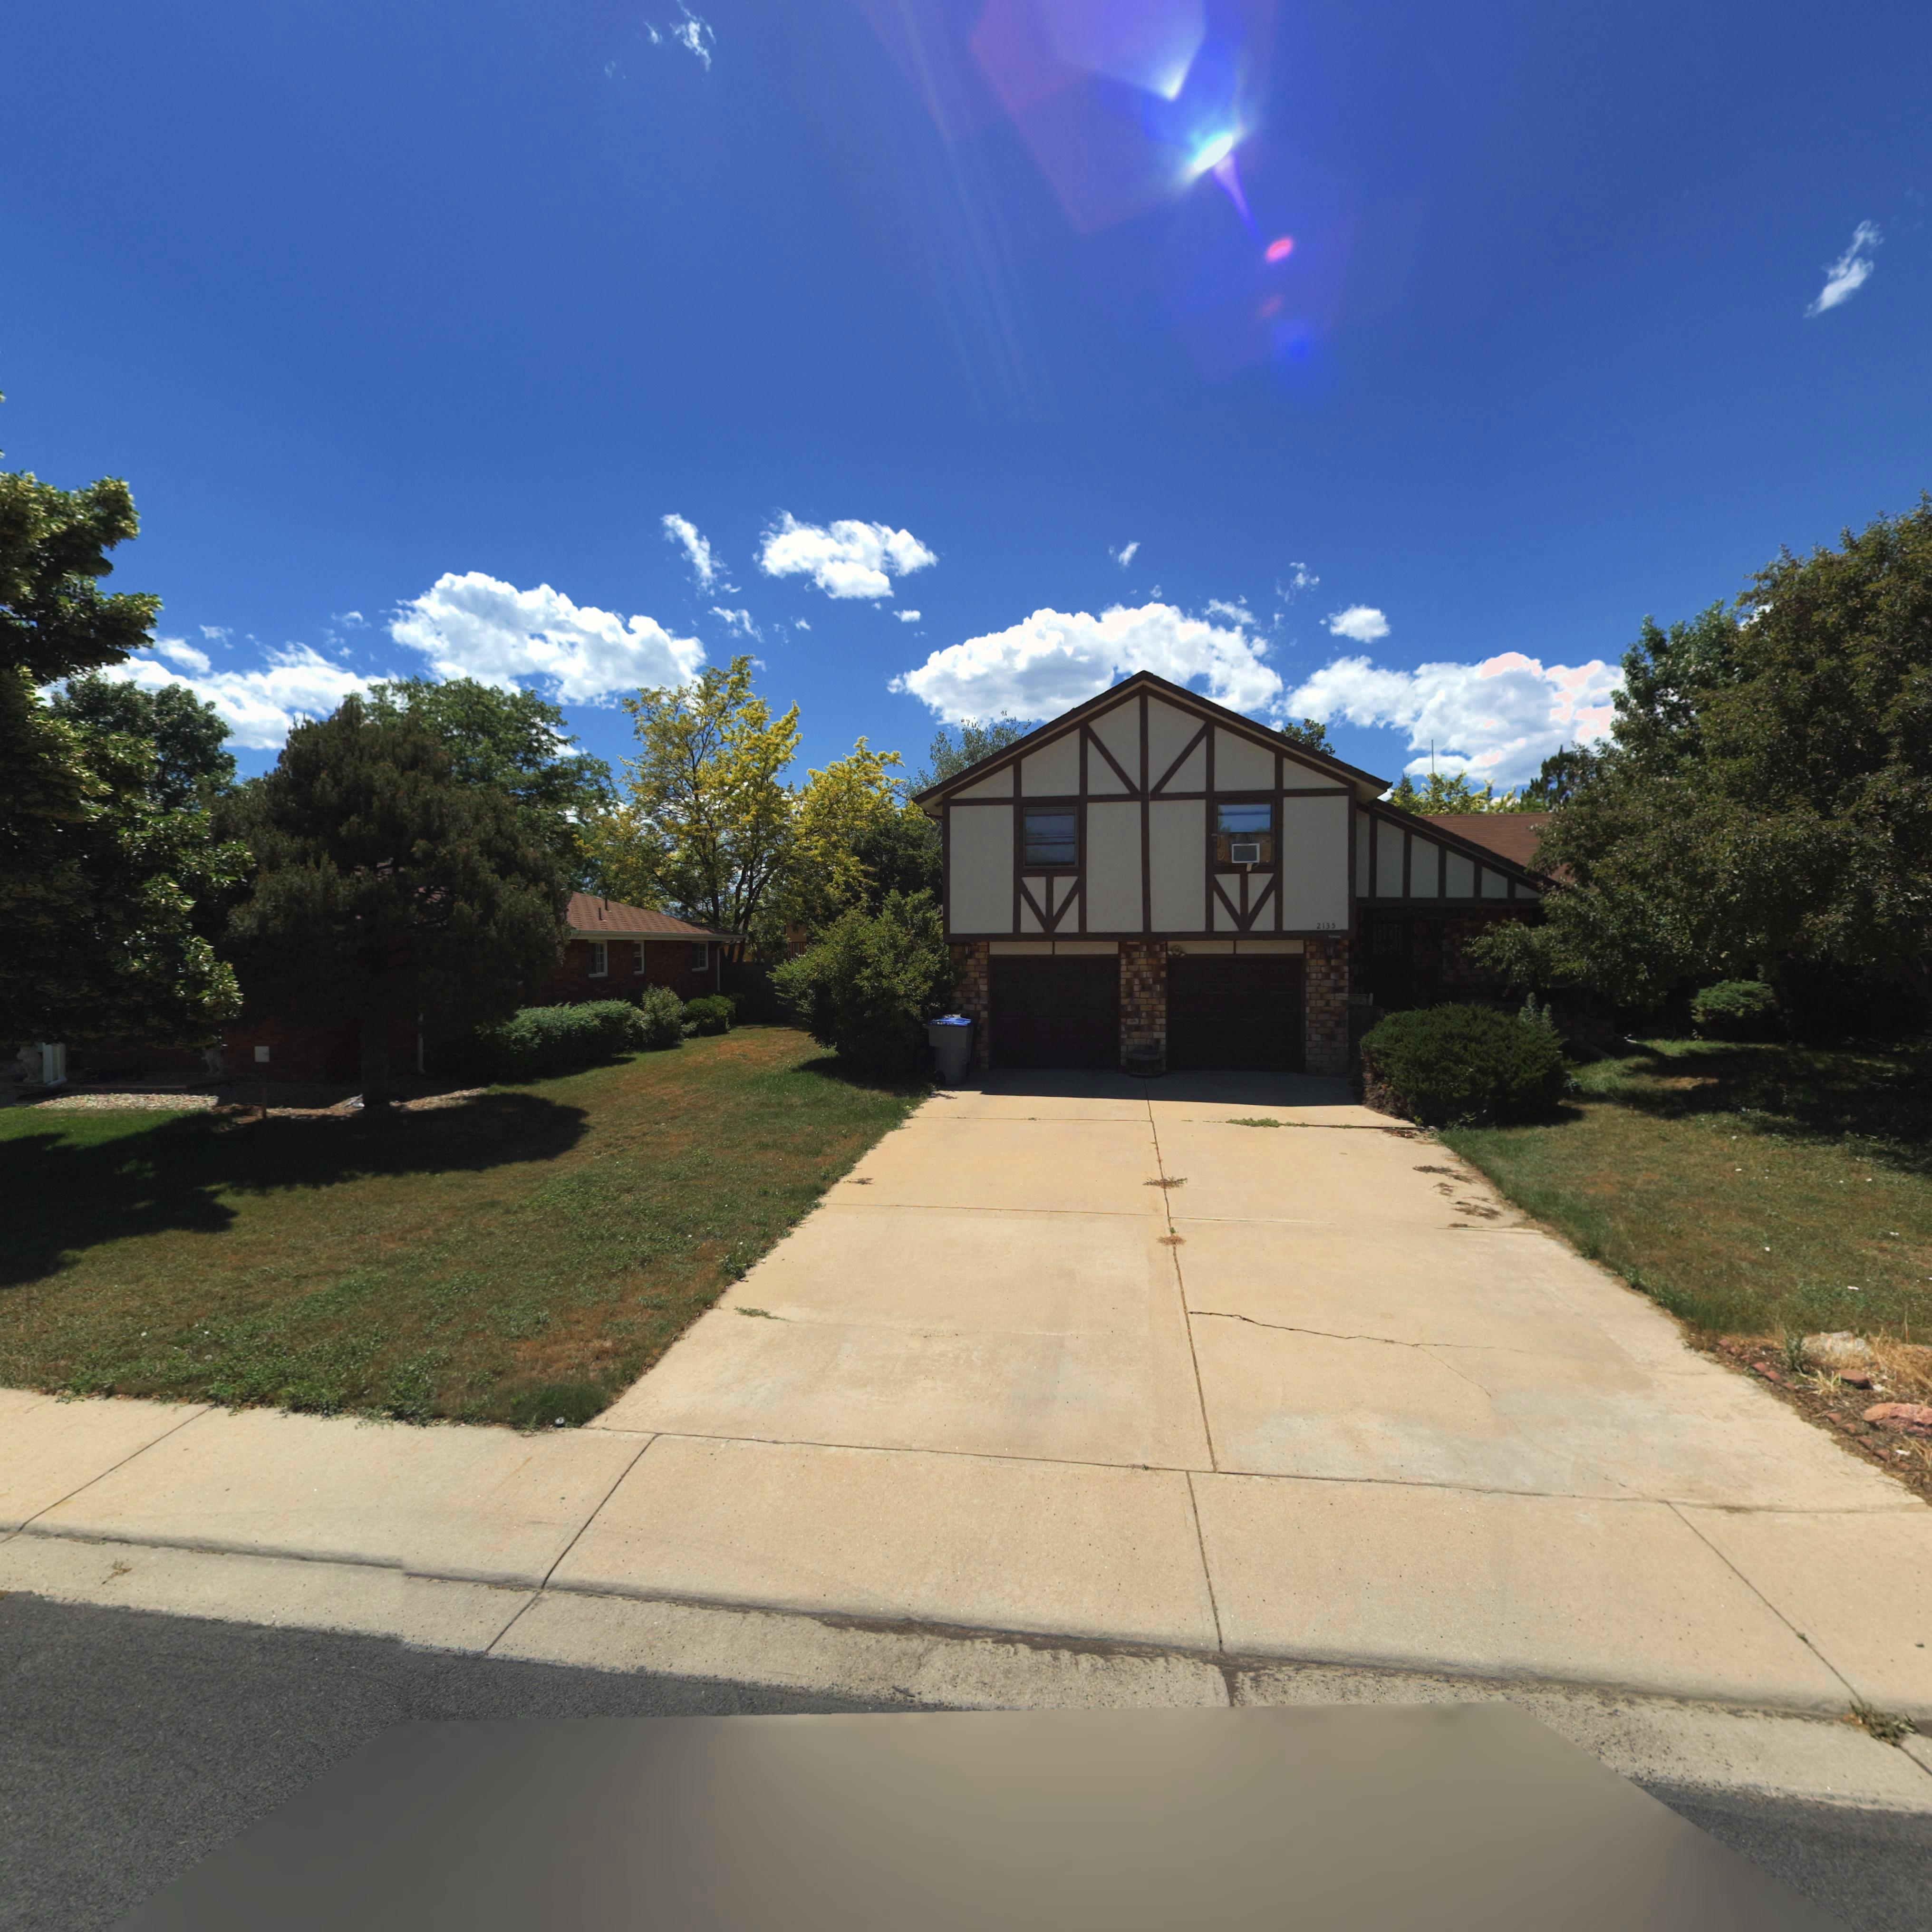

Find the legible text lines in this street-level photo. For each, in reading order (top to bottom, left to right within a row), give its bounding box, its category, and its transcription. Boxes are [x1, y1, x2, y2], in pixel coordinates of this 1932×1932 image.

[1316, 922, 1336, 929] StreetNumber: 2135